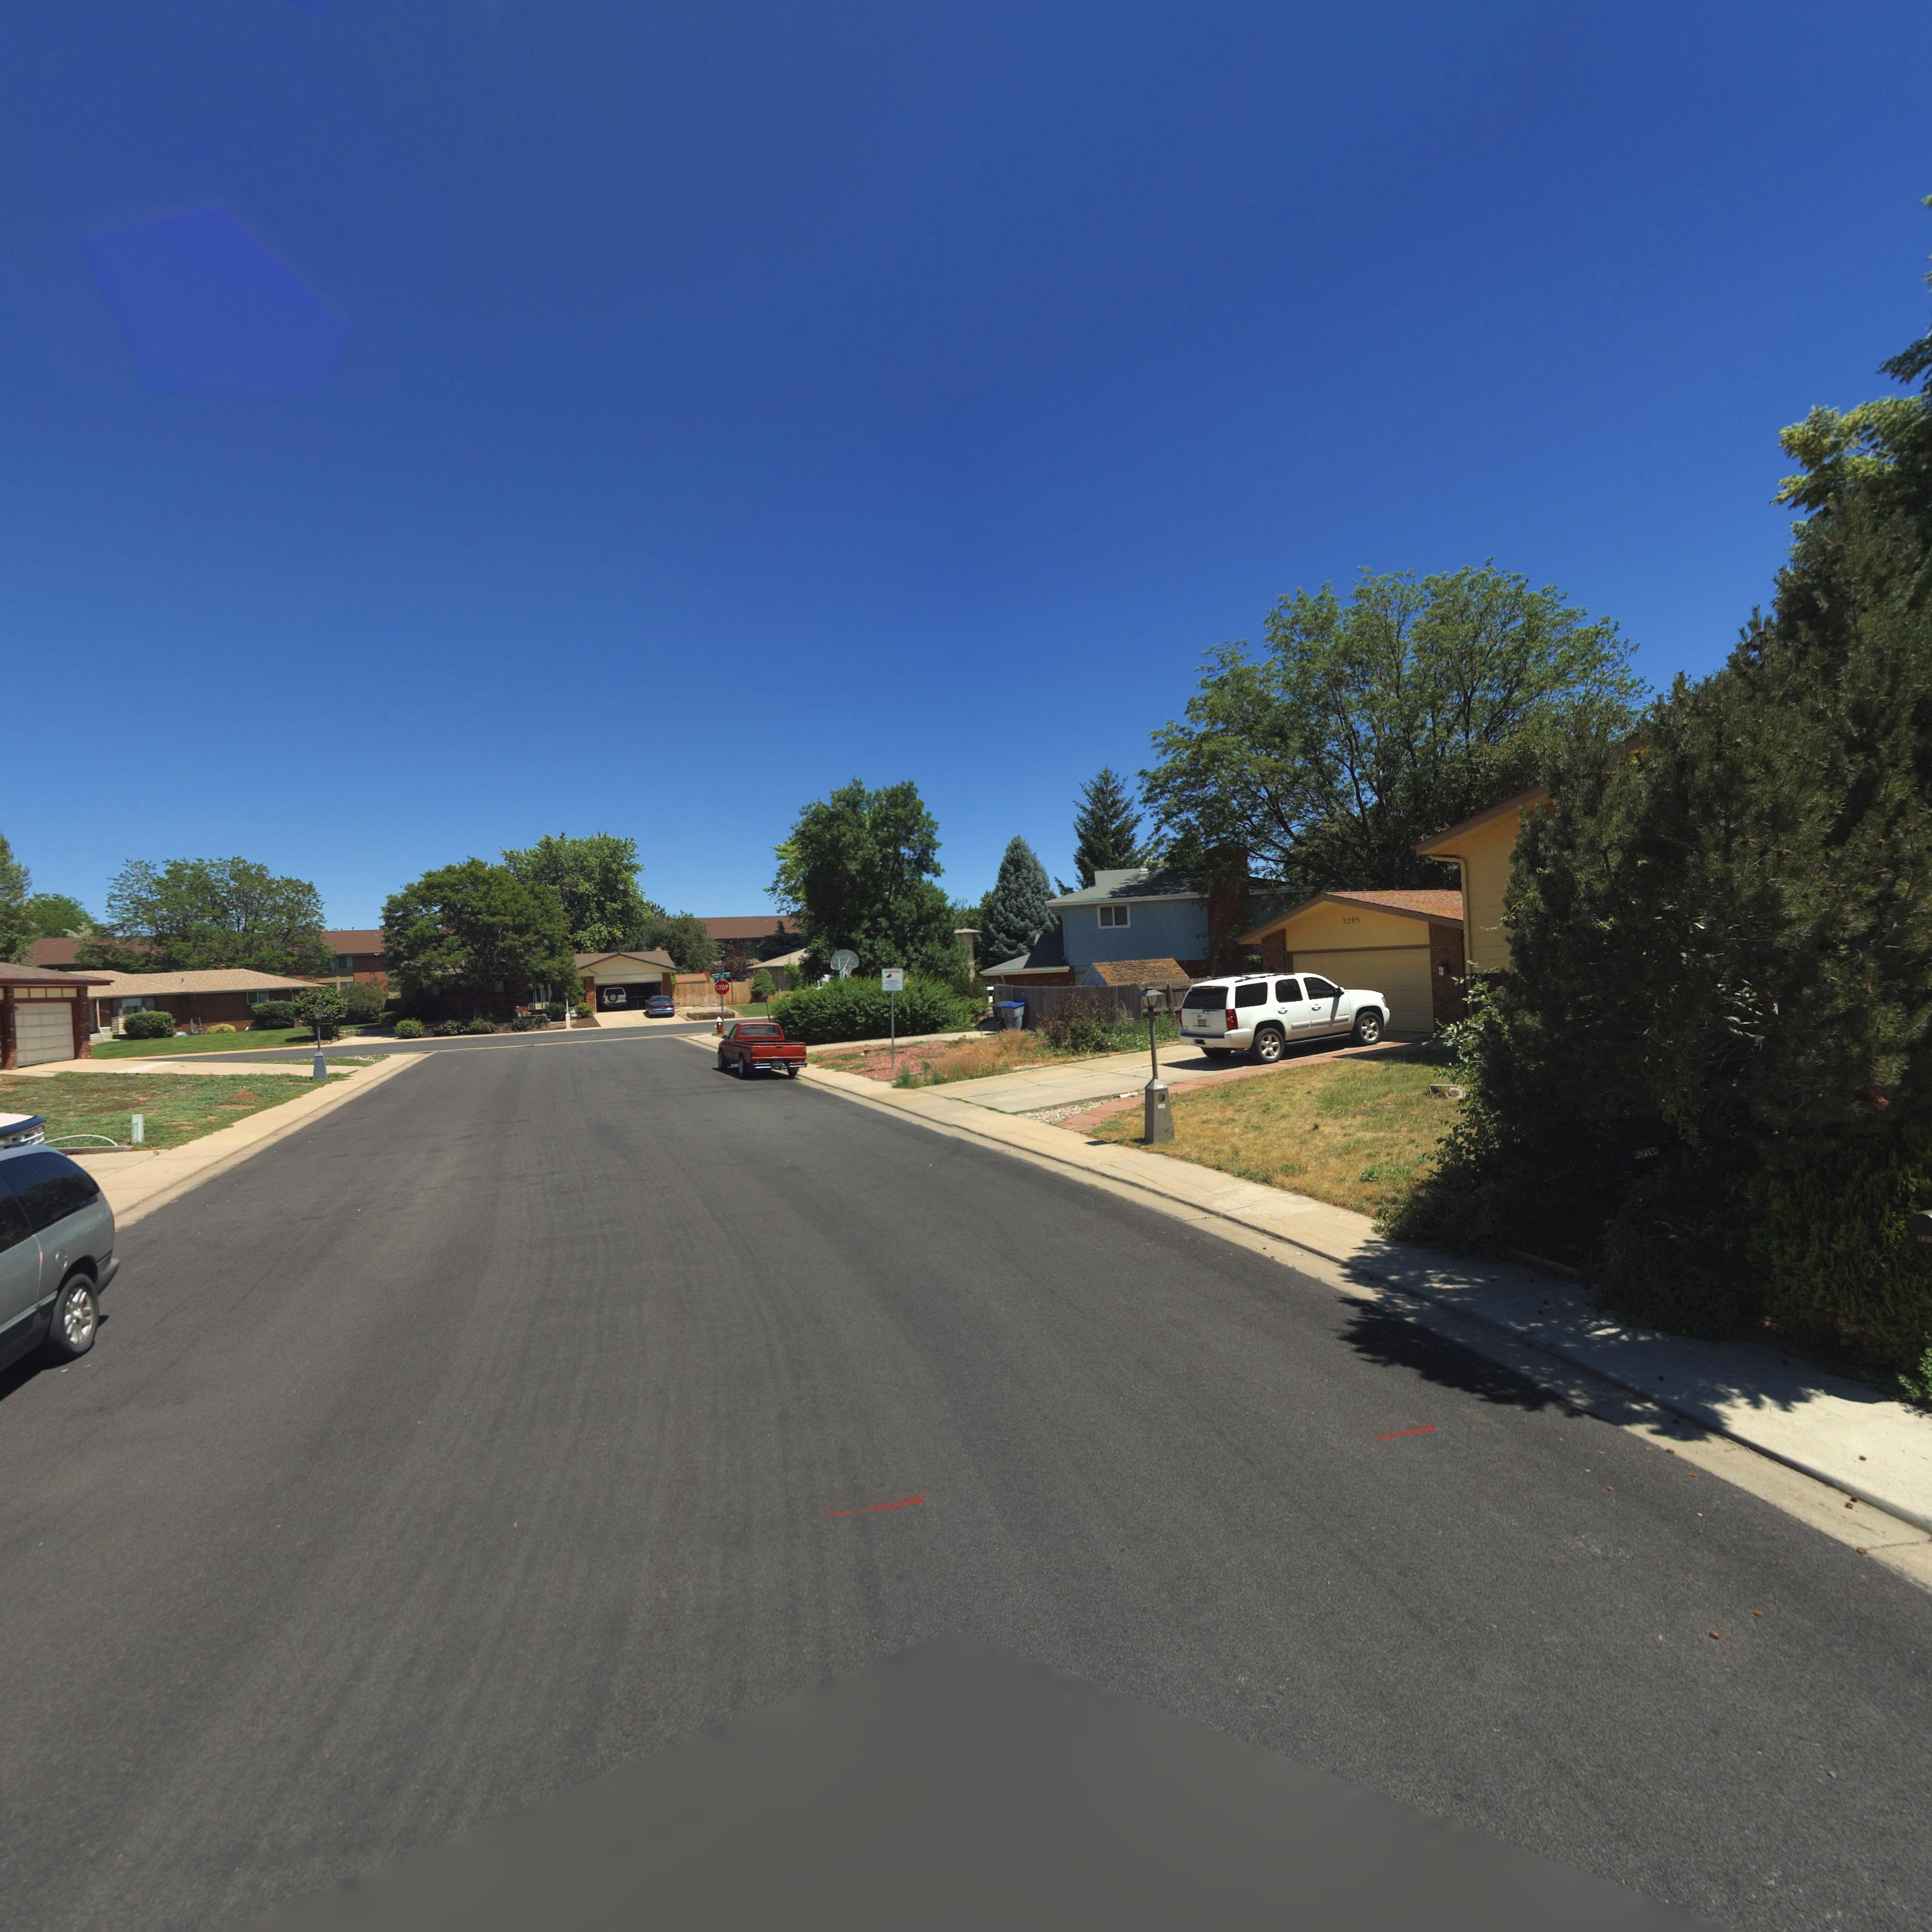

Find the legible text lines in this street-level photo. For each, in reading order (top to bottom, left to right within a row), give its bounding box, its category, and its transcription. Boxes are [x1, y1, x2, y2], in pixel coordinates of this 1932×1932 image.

[1341, 916, 1360, 925] StreetNumber: 2205
[588, 967, 599, 976] StreetNumber: *200